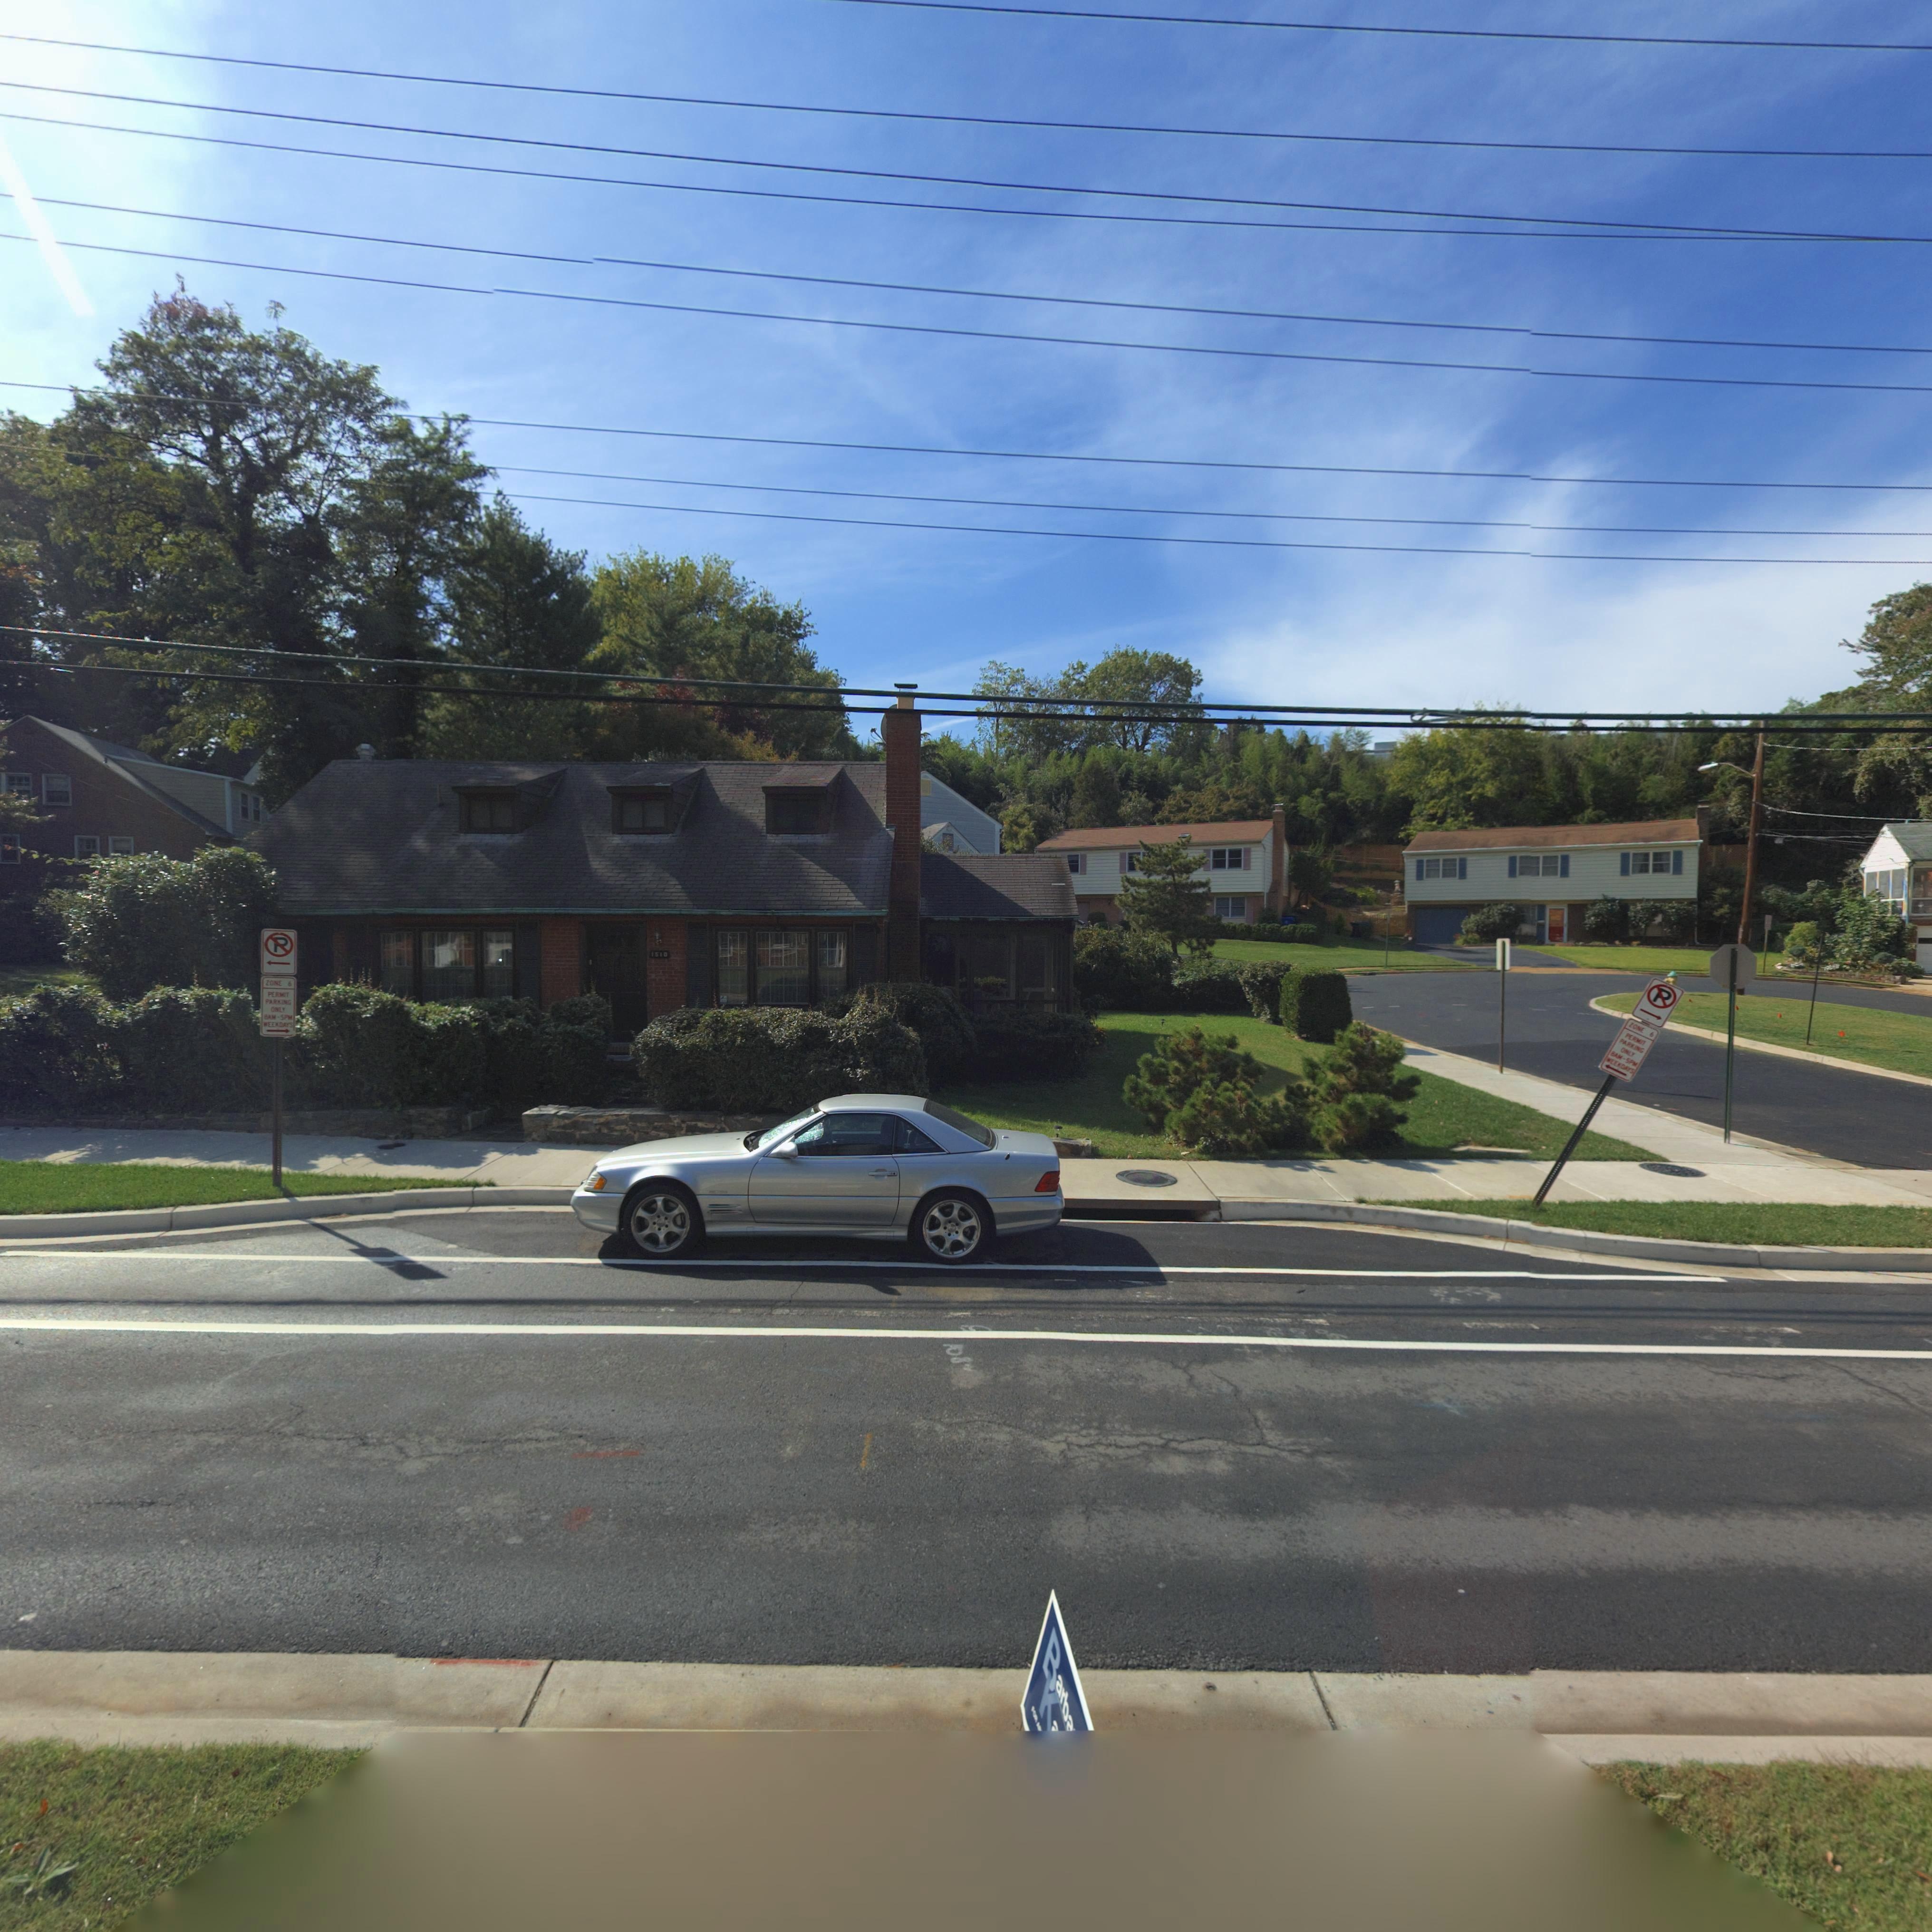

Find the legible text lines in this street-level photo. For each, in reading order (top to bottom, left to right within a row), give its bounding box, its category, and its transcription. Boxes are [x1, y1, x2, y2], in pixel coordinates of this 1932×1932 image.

[651, 951, 668, 957] StreetNumber: 1510
[264, 978, 293, 988] None: ZONE 6
[267, 990, 291, 999] None: PERMIT
[264, 997, 292, 1006] None: PARKING
[269, 1005, 287, 1014] None: ONLY
[263, 1012, 294, 1022] None: 8AM-5PM
[262, 1020, 295, 1029] None: WEEKDAYS
[1627, 1020, 1656, 1039] None: ZONE 6
[1619, 1045, 1638, 1059] None: ONLY
[1616, 1037, 1646, 1055] None: PARKING
[1623, 1031, 1649, 1048] None: PERMIT
[1605, 1055, 1637, 1075] None: WEEKDAYS
[1609, 1049, 1640, 1069] None: 8AM-5PM
[1053, 1670, 1071, 1725] None: arb